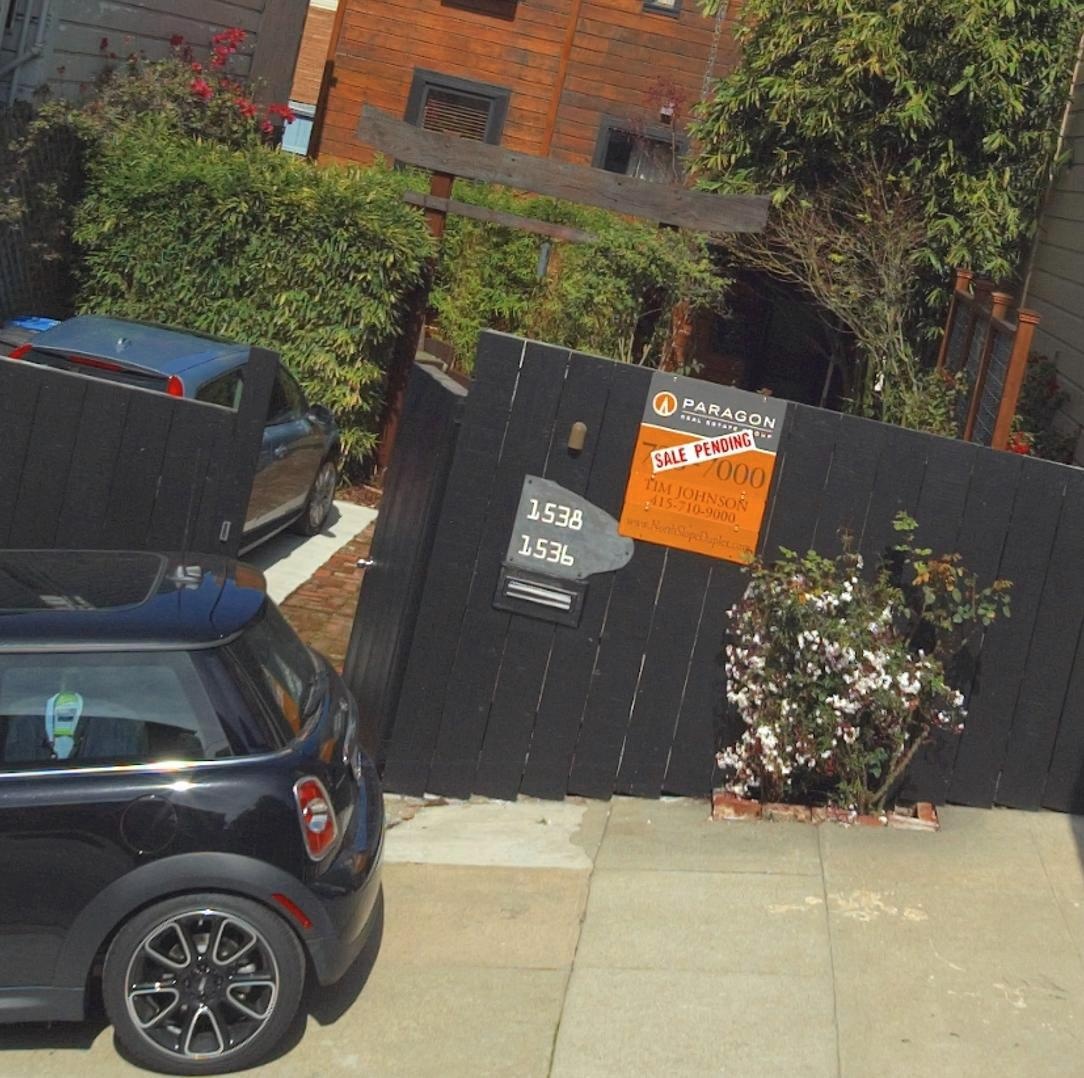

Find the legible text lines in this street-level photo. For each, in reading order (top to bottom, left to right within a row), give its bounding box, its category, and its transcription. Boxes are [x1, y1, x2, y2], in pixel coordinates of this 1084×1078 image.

[681, 396, 777, 431] None: PARGON
[653, 431, 753, 469] None: SALE PENDING
[641, 440, 768, 491] None: 7****000
[524, 496, 585, 533] StreetNumber: 1538
[649, 494, 736, 524] None: 415-710-9000
[643, 476, 750, 514] None: TIM JOHNSON
[515, 532, 577, 569] StreetNumber: 1536
[626, 516, 751, 555] None: www.NorthSlopD*plex.co*